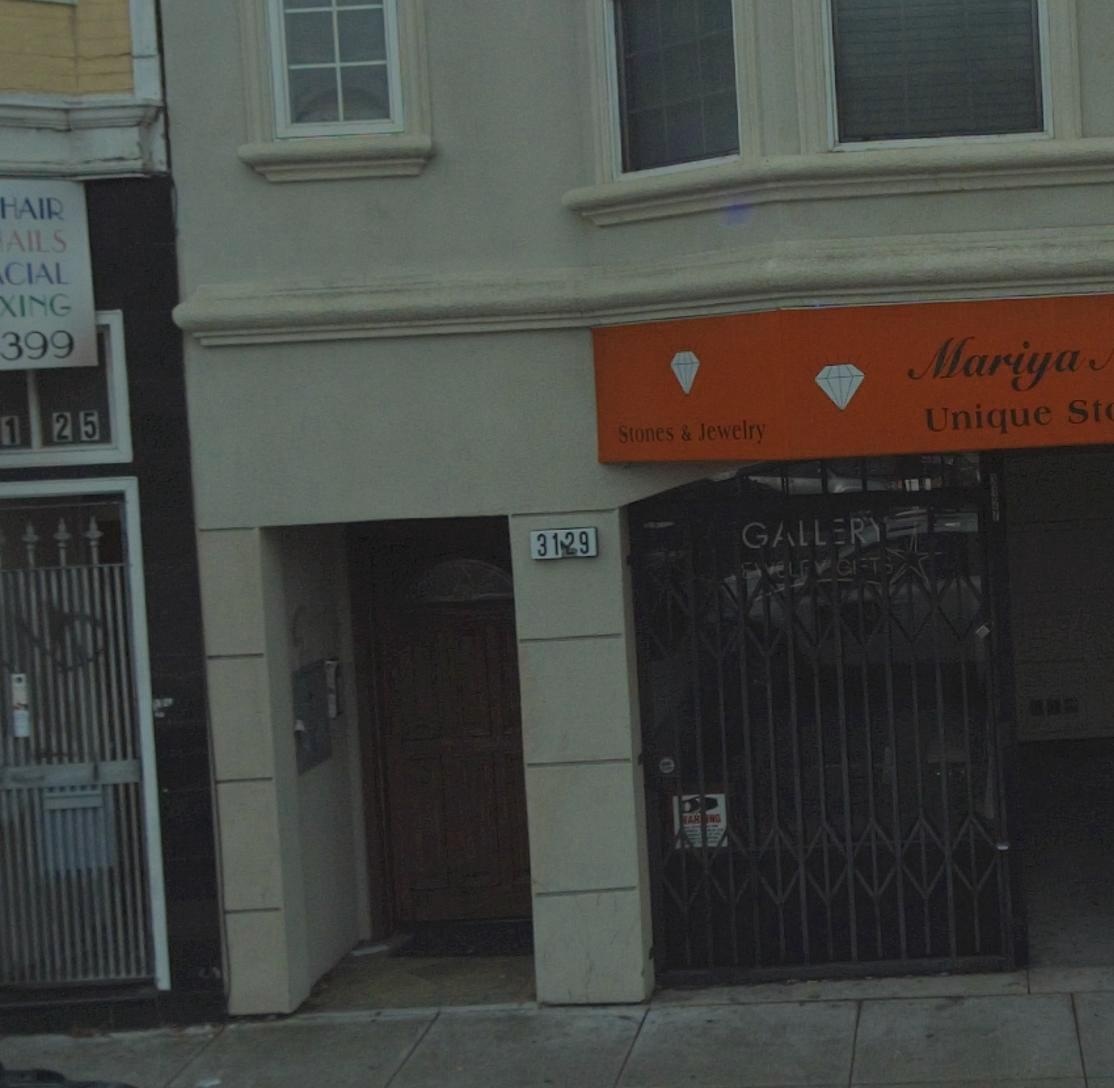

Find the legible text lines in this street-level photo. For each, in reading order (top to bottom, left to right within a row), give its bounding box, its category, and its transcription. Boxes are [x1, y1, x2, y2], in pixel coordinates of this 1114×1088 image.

[14, 195, 67, 222] None: AIR
[2, 226, 71, 255] None: AILS
[3, 258, 73, 288] None: CIAL
[17, 291, 75, 319] None: ING
[24, 327, 76, 360] None: 99
[904, 334, 1089, 393] BusinessName: Mariya
[2, 409, 99, 446] StreetNumber: 125
[616, 416, 771, 445] None: Stones & Jewelry
[922, 395, 1105, 436] BusinessName: Unique St
[535, 530, 592, 558] StreetNumber: 3129